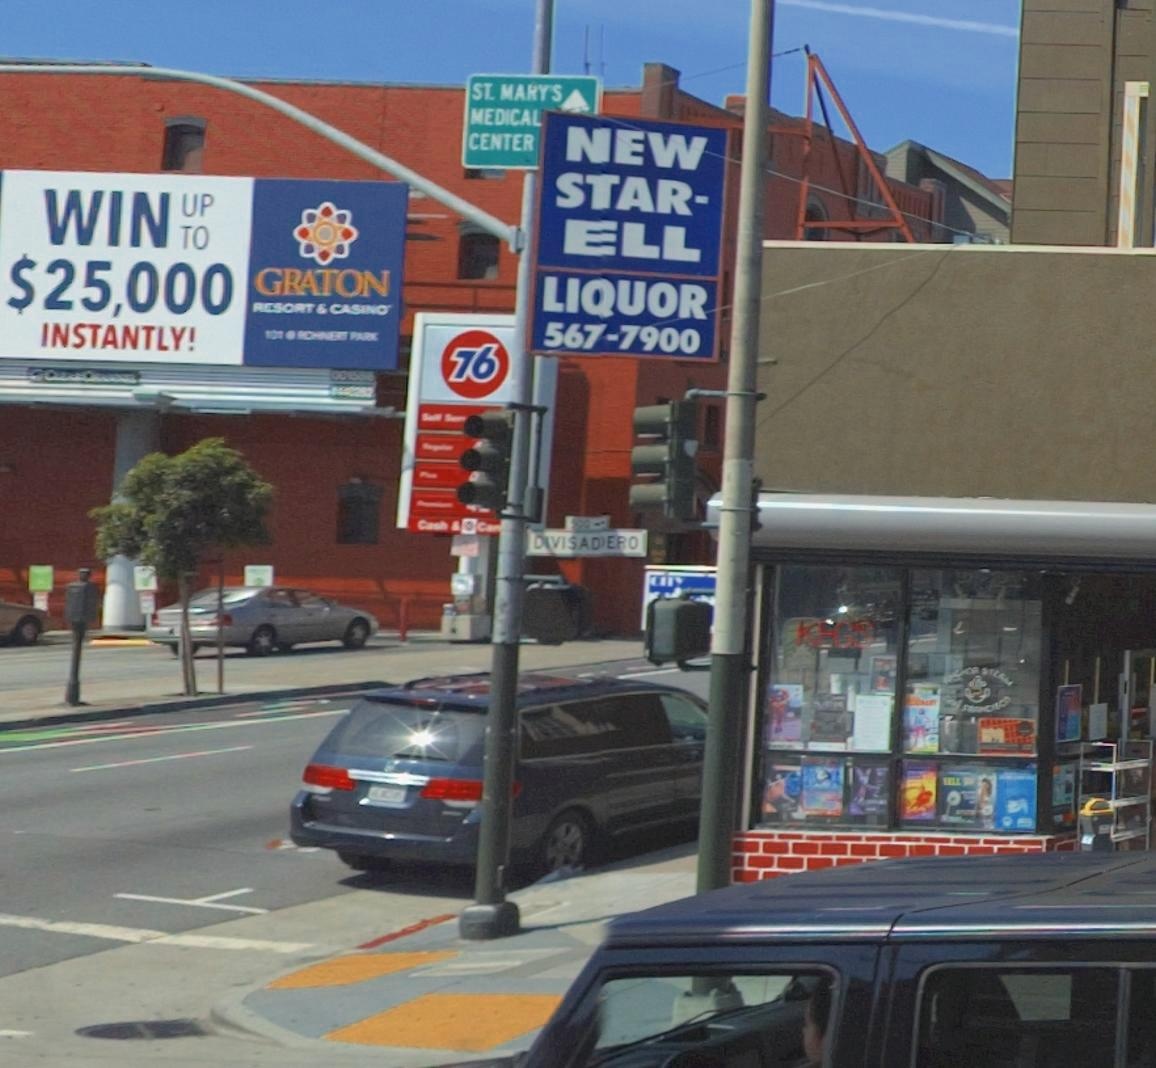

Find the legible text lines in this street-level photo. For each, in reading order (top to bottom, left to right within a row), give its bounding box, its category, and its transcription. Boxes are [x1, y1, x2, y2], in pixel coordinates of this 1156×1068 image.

[466, 77, 562, 104] BusinessName: ST. MARY'S
[467, 105, 543, 128] BusinessName: MEDICAL
[465, 130, 538, 154] BusinessName: CENTER
[563, 122, 710, 174] BusinessName: NEW
[37, 181, 169, 253] None: WIN
[173, 191, 217, 221] None: UP
[553, 166, 712, 223] BusinessName: STAR-
[176, 222, 211, 250] None: TO
[558, 215, 705, 266] BusinessName: ELL
[4, 250, 232, 317] None: $25,000
[249, 298, 393, 318] BusinessName: RESORT & CASINO
[253, 261, 390, 298] BusinessName: GRATON
[539, 271, 712, 323] None: LIQUOR
[37, 318, 196, 355] None: INSTANTLY!
[540, 318, 702, 358] PhoneNumber: 567-7900
[445, 342, 506, 382] BusinessName: 76
[416, 516, 450, 533] None: CASH
[531, 530, 641, 554] StreetName: DIVISADERO
[568, 515, 608, 529] None: 500->
[793, 616, 875, 652] BusinessName: KEGS